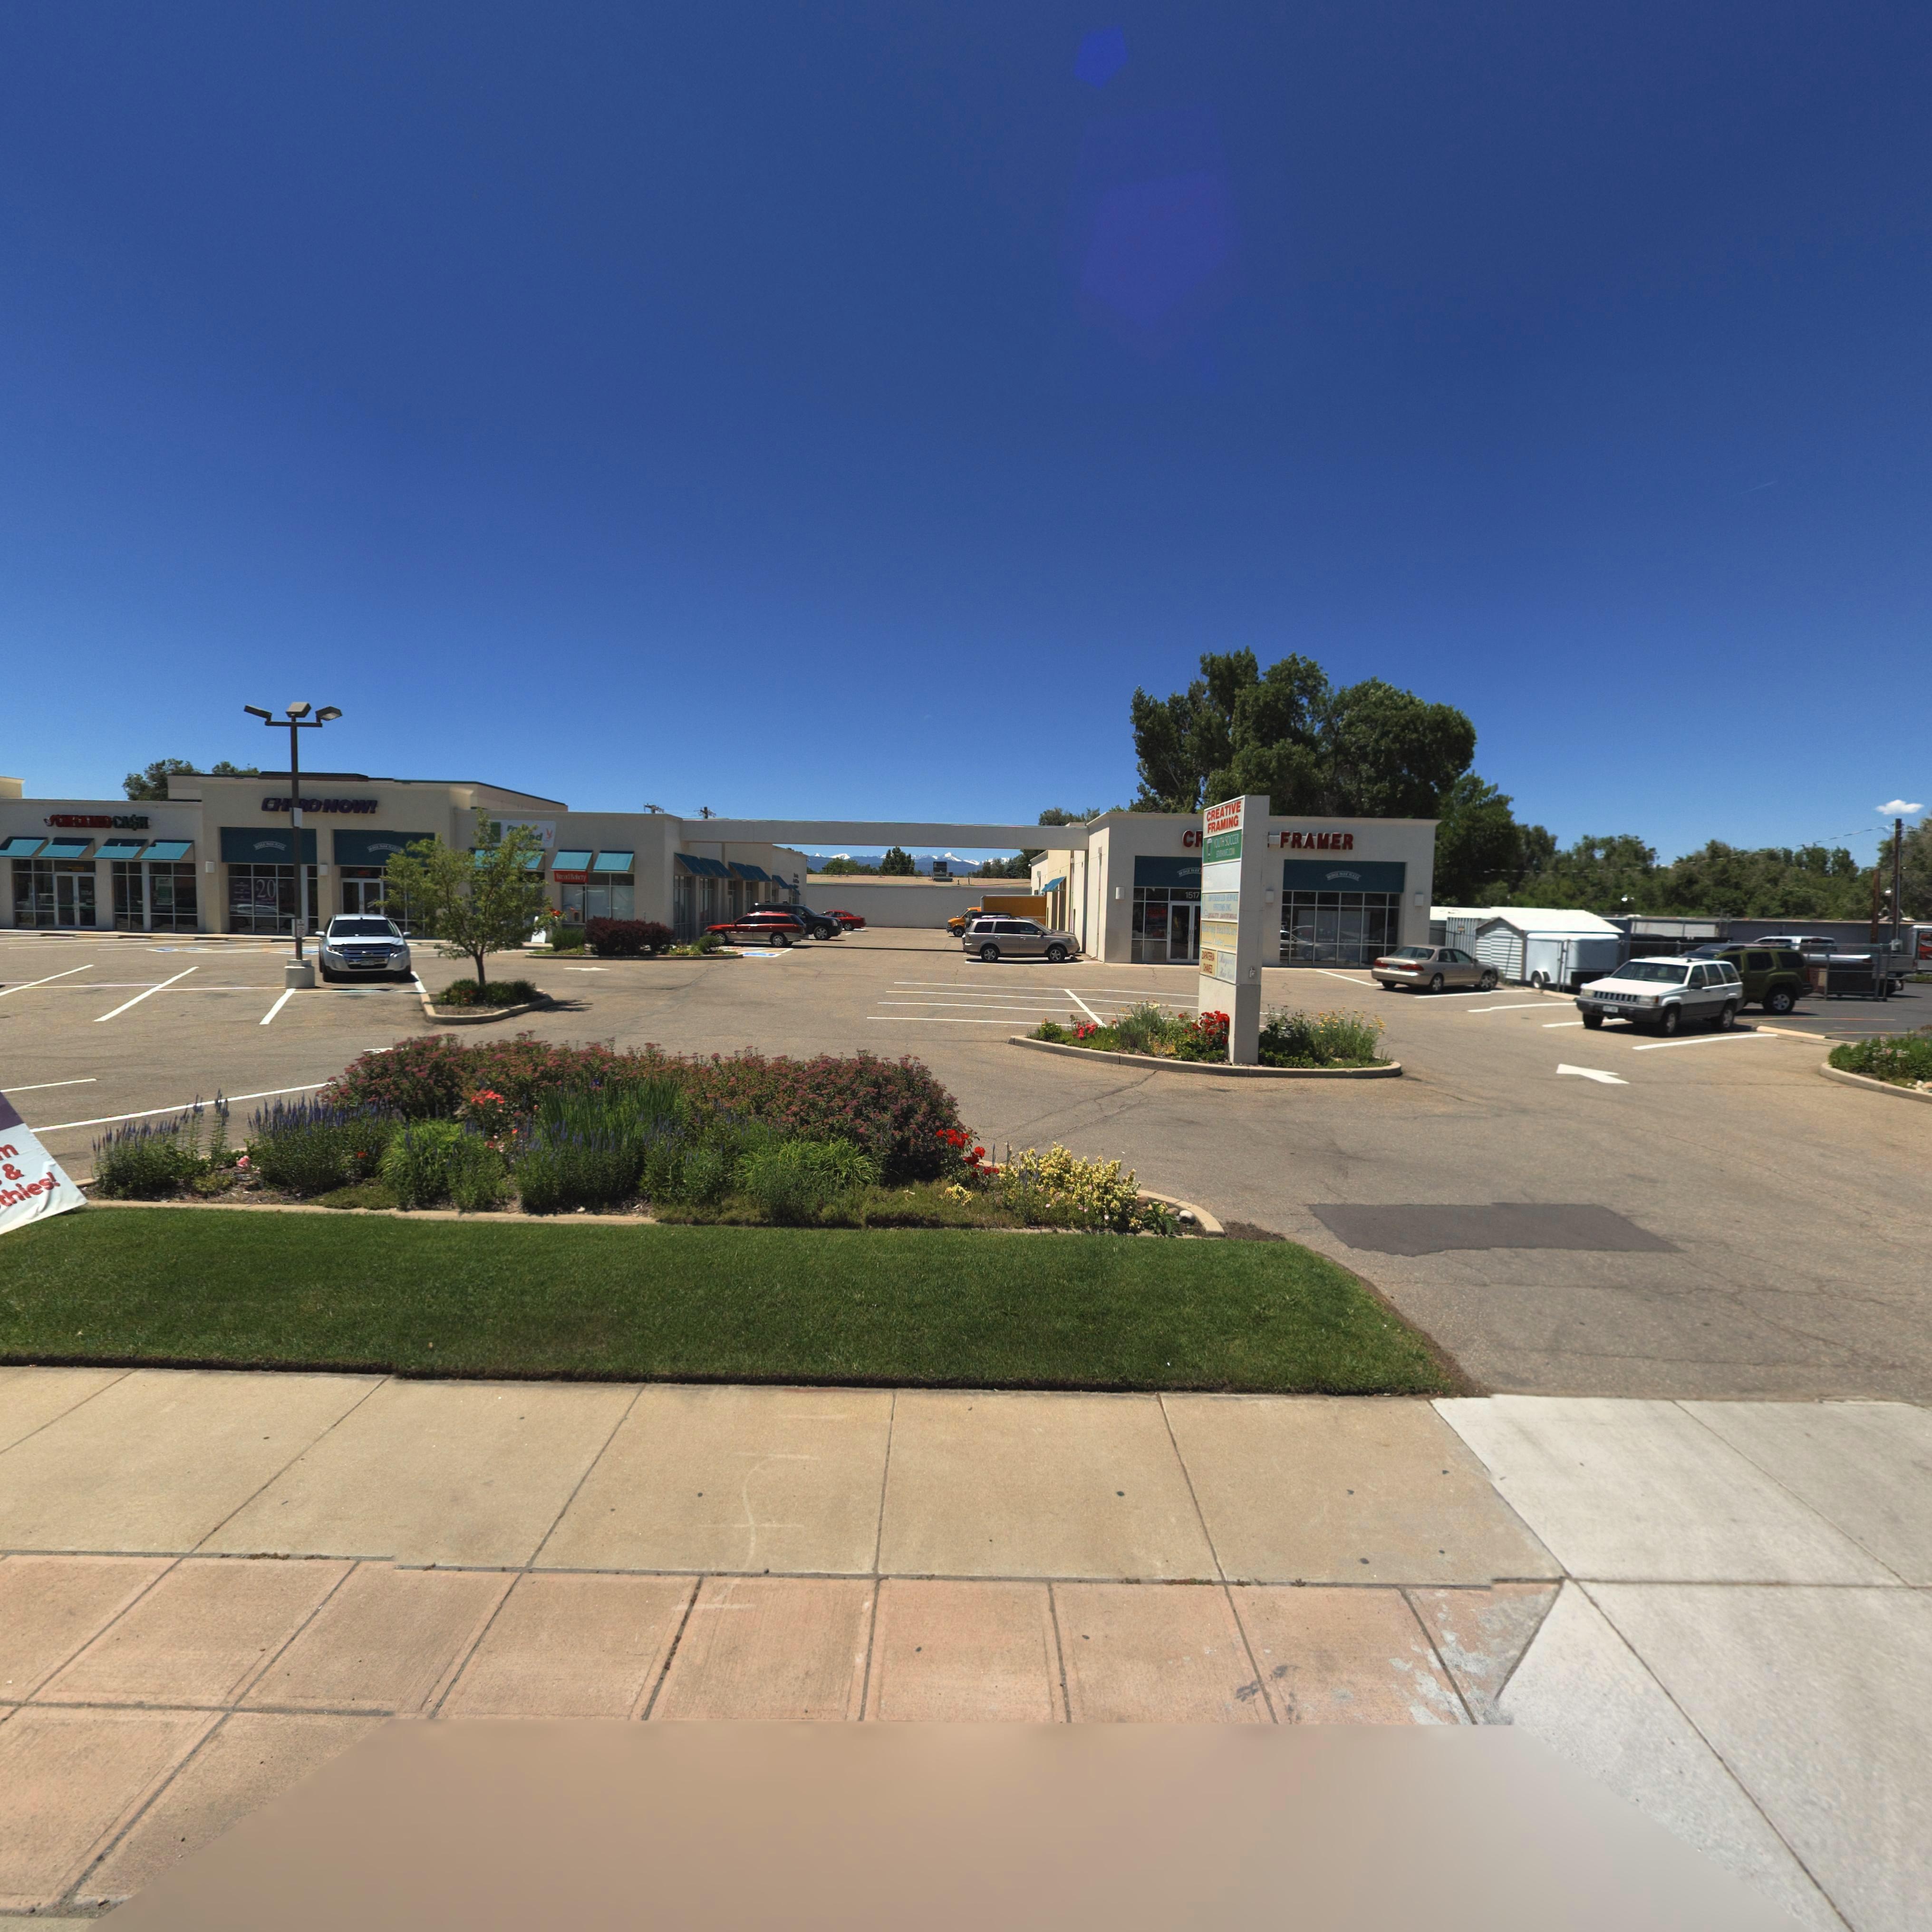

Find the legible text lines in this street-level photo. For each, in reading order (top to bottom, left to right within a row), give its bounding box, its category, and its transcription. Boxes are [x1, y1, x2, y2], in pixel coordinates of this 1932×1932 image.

[259, 797, 378, 814] BusinessName: CH**O NOW!
[1207, 800, 1241, 822] BusinessName: CREATIVE
[43, 813, 148, 829] BusinessName: *CHE***O CASH
[1207, 813, 1239, 833] BusinessName: FRAMING
[1180, 828, 1203, 847] BusinessName: C*
[1213, 833, 1239, 849] BusinessName: YOUTH SOCCER
[1278, 829, 1354, 851] BusinessName: FRAMER
[1201, 922, 1237, 936] BusinessName: Hearing HealthCare
[1212, 935, 1224, 947] BusinessName: Center
[1201, 950, 1214, 962] BusinessName: Z*****